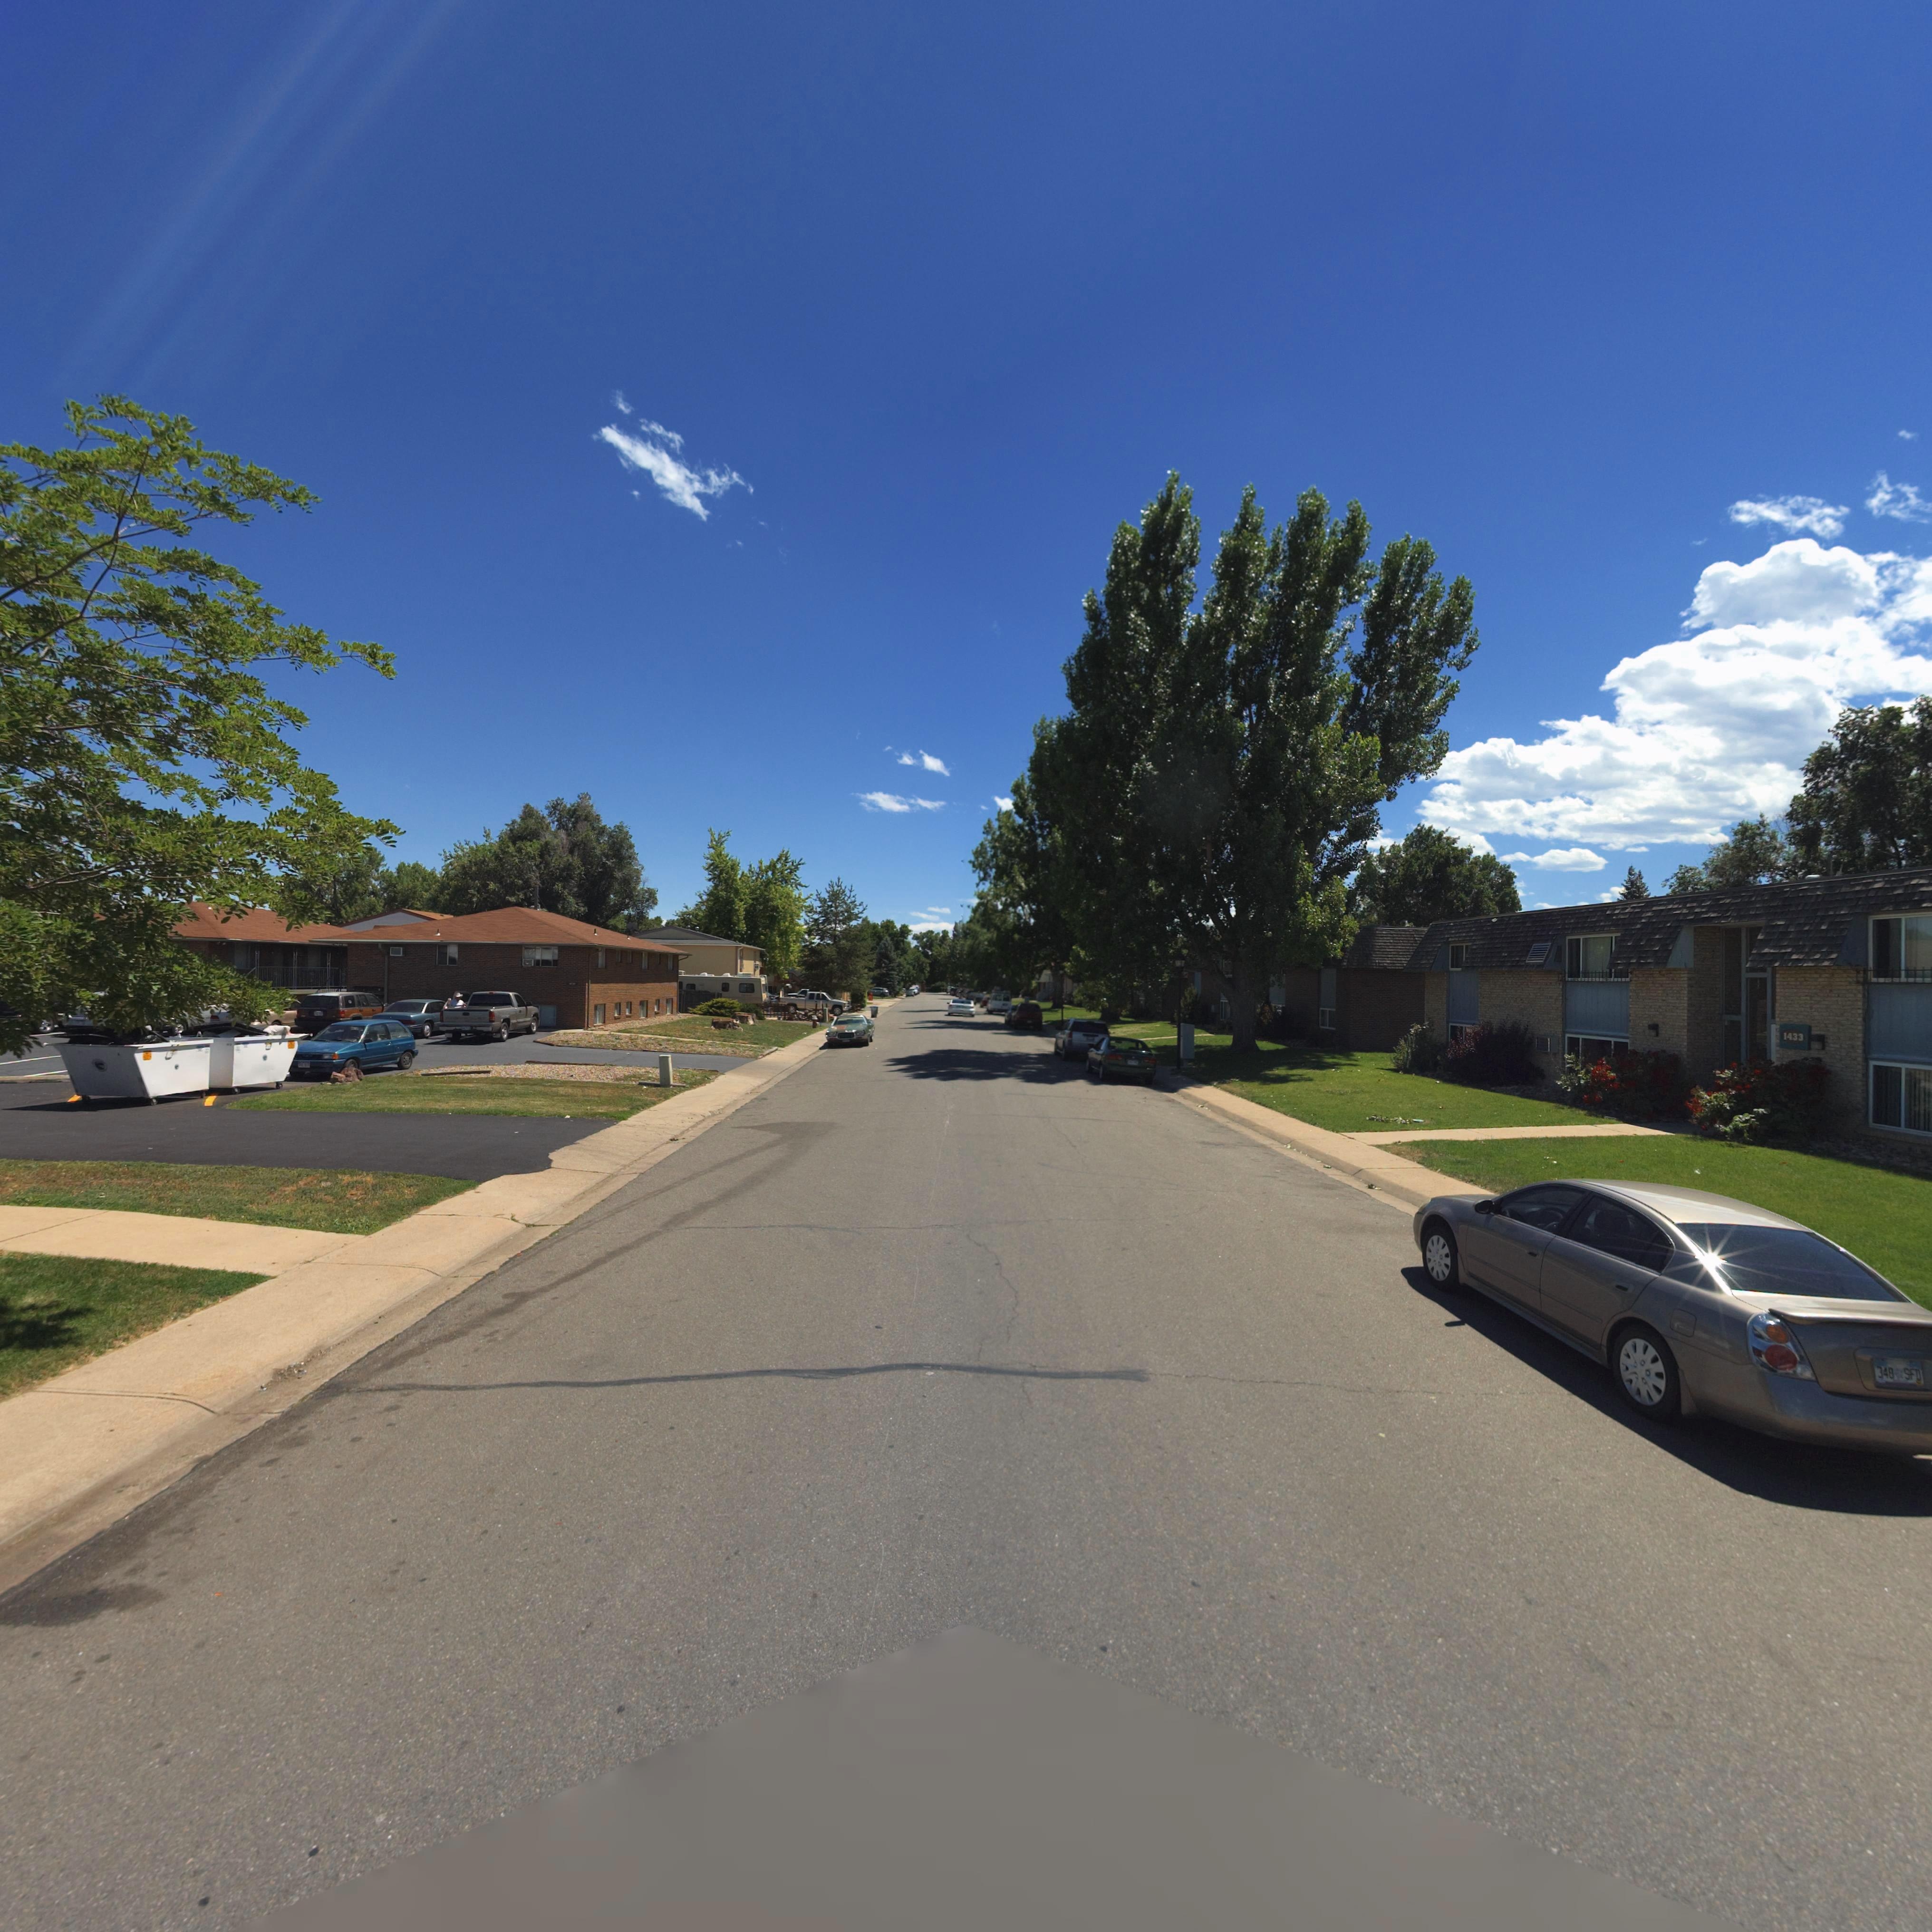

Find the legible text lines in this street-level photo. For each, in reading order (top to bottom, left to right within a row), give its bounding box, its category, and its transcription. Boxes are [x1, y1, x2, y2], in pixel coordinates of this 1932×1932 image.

[1783, 1032, 1803, 1041] StreetNumber: 1433